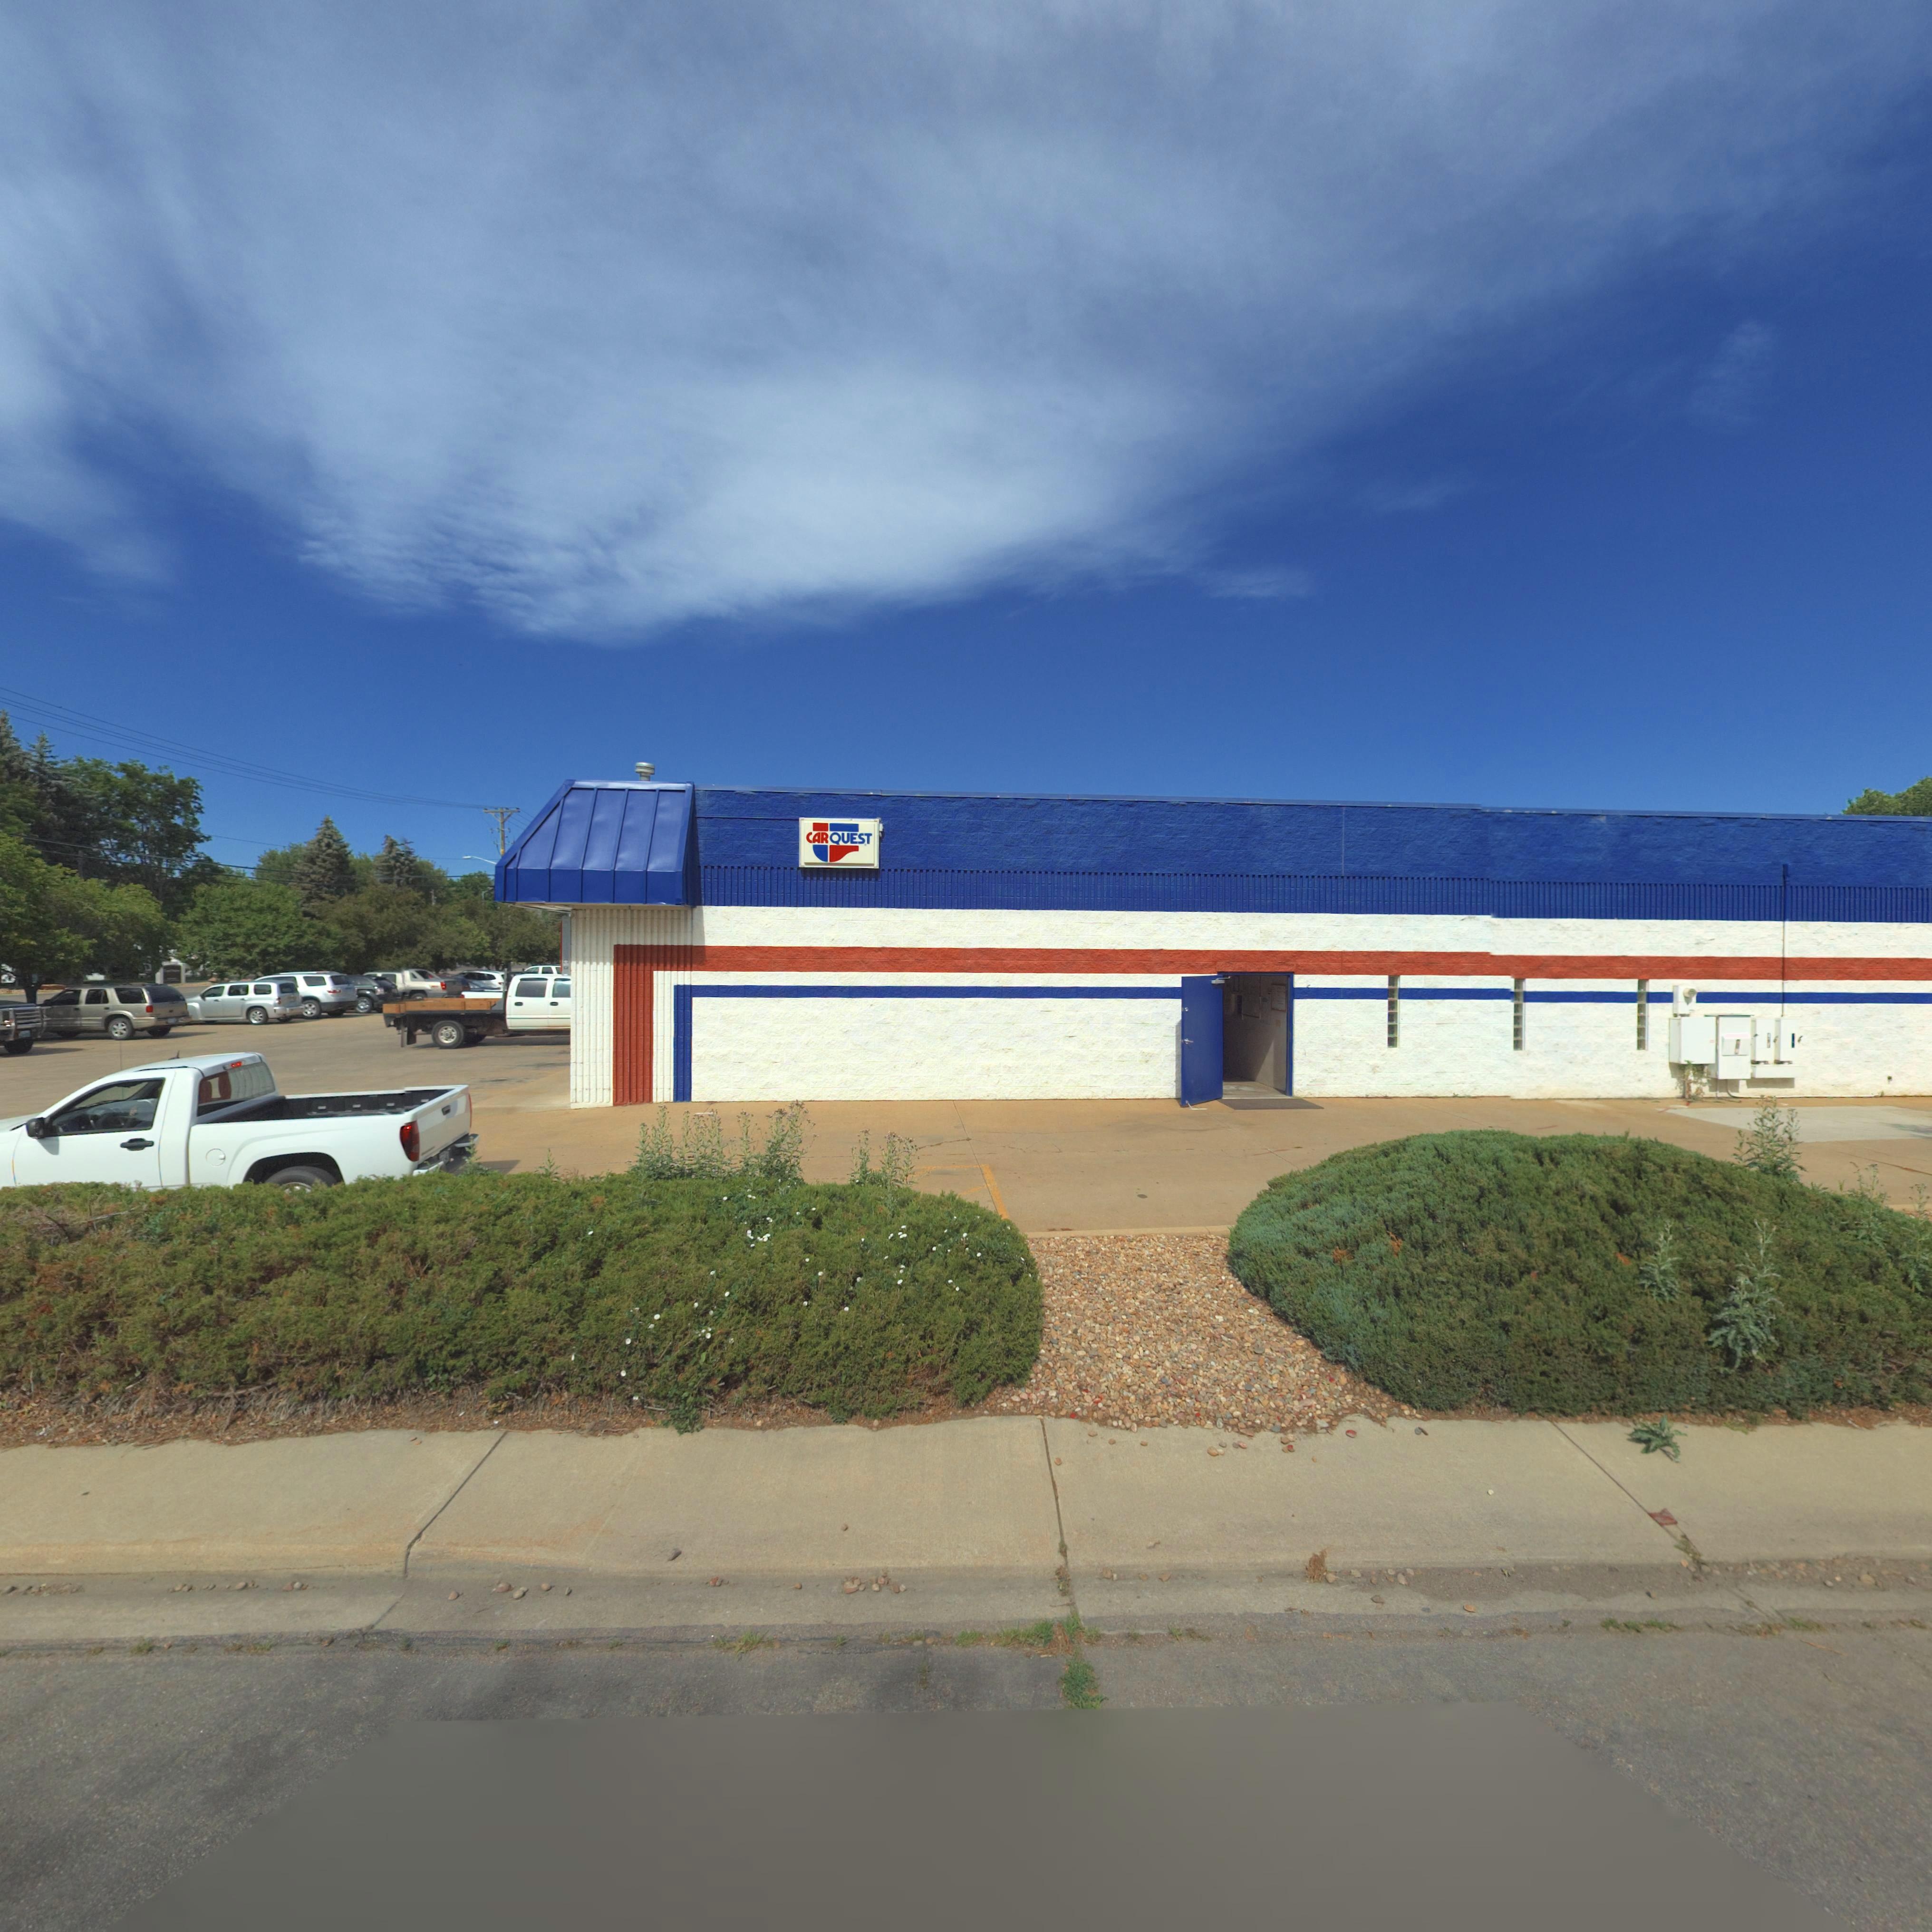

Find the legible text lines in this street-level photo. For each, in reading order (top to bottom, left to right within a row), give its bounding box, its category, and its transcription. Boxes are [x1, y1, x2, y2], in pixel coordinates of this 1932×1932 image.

[805, 831, 872, 845] BusinessName: CAR QUEST